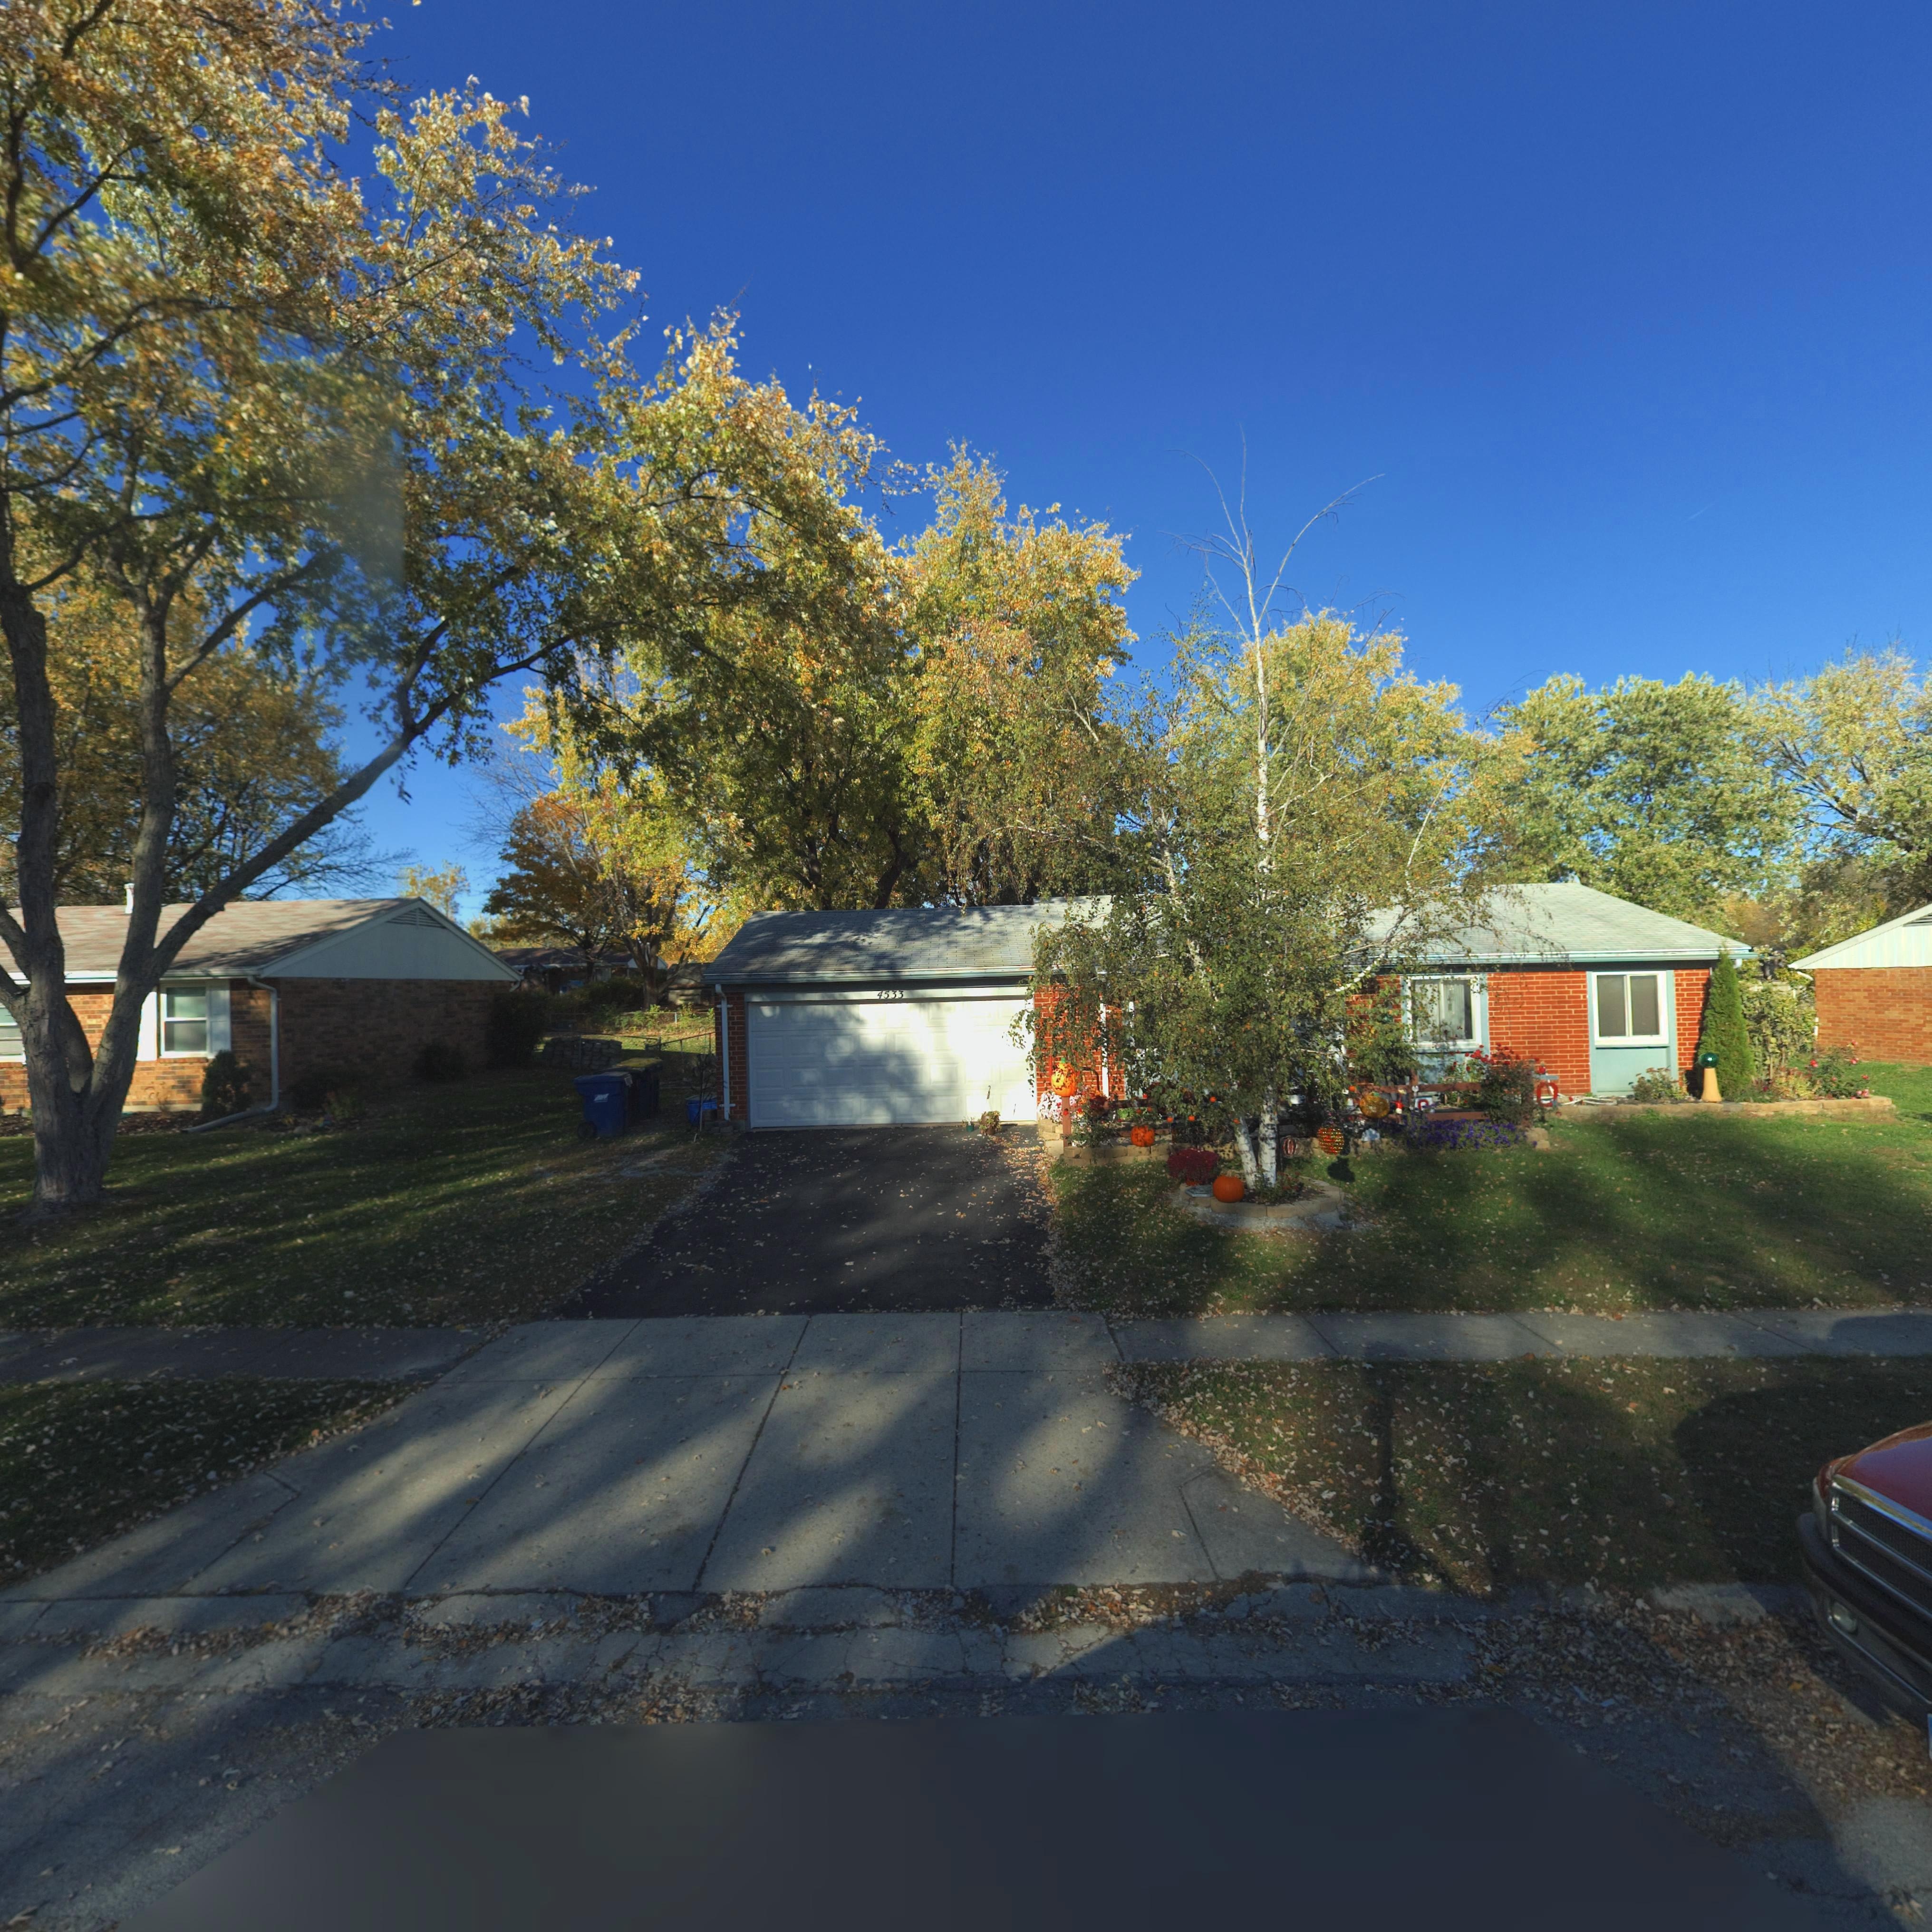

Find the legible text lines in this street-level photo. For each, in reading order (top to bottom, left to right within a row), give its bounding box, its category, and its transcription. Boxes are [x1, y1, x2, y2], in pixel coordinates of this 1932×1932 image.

[876, 990, 905, 1000] StreetNumber: 4533